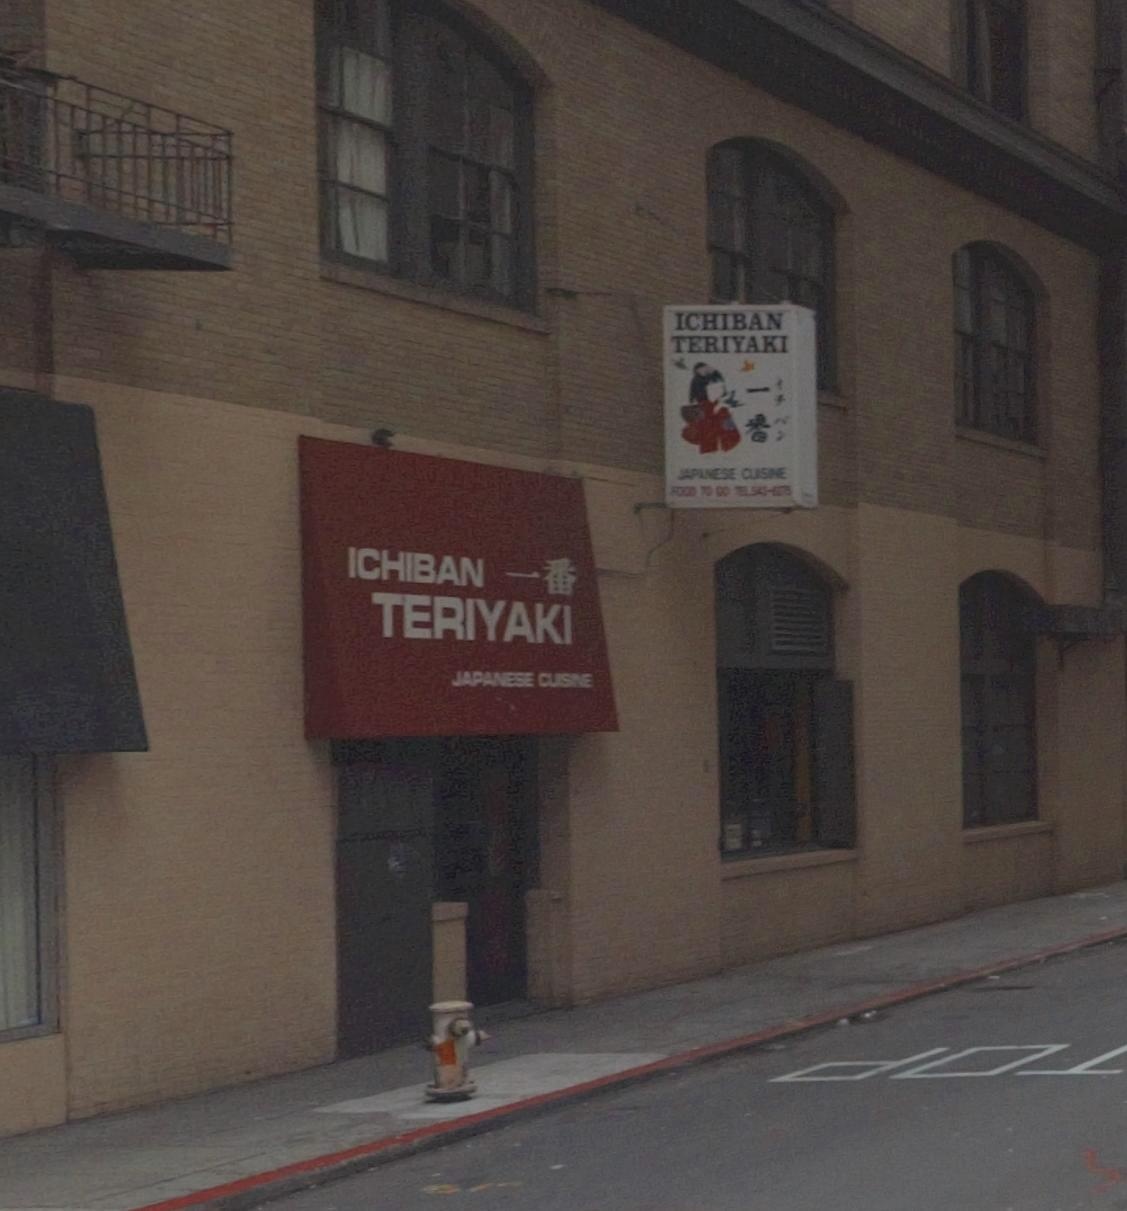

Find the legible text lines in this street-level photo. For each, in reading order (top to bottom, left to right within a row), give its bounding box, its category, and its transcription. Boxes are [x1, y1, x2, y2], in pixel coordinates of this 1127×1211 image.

[671, 308, 787, 334] BusinessName: ICHIBAN
[668, 332, 792, 356] BusinessName: TERIYAKI
[673, 464, 790, 484] None: JAPANESE CUISINE
[667, 482, 734, 499] None: FOOD TO GO
[343, 543, 489, 591] BusinessName: ICHIBAN
[366, 588, 578, 649] BusinessName: TERIYAKI
[447, 667, 595, 692] None: JAPANESE CUISINE
[751, 1035, 1085, 1088] None: *O